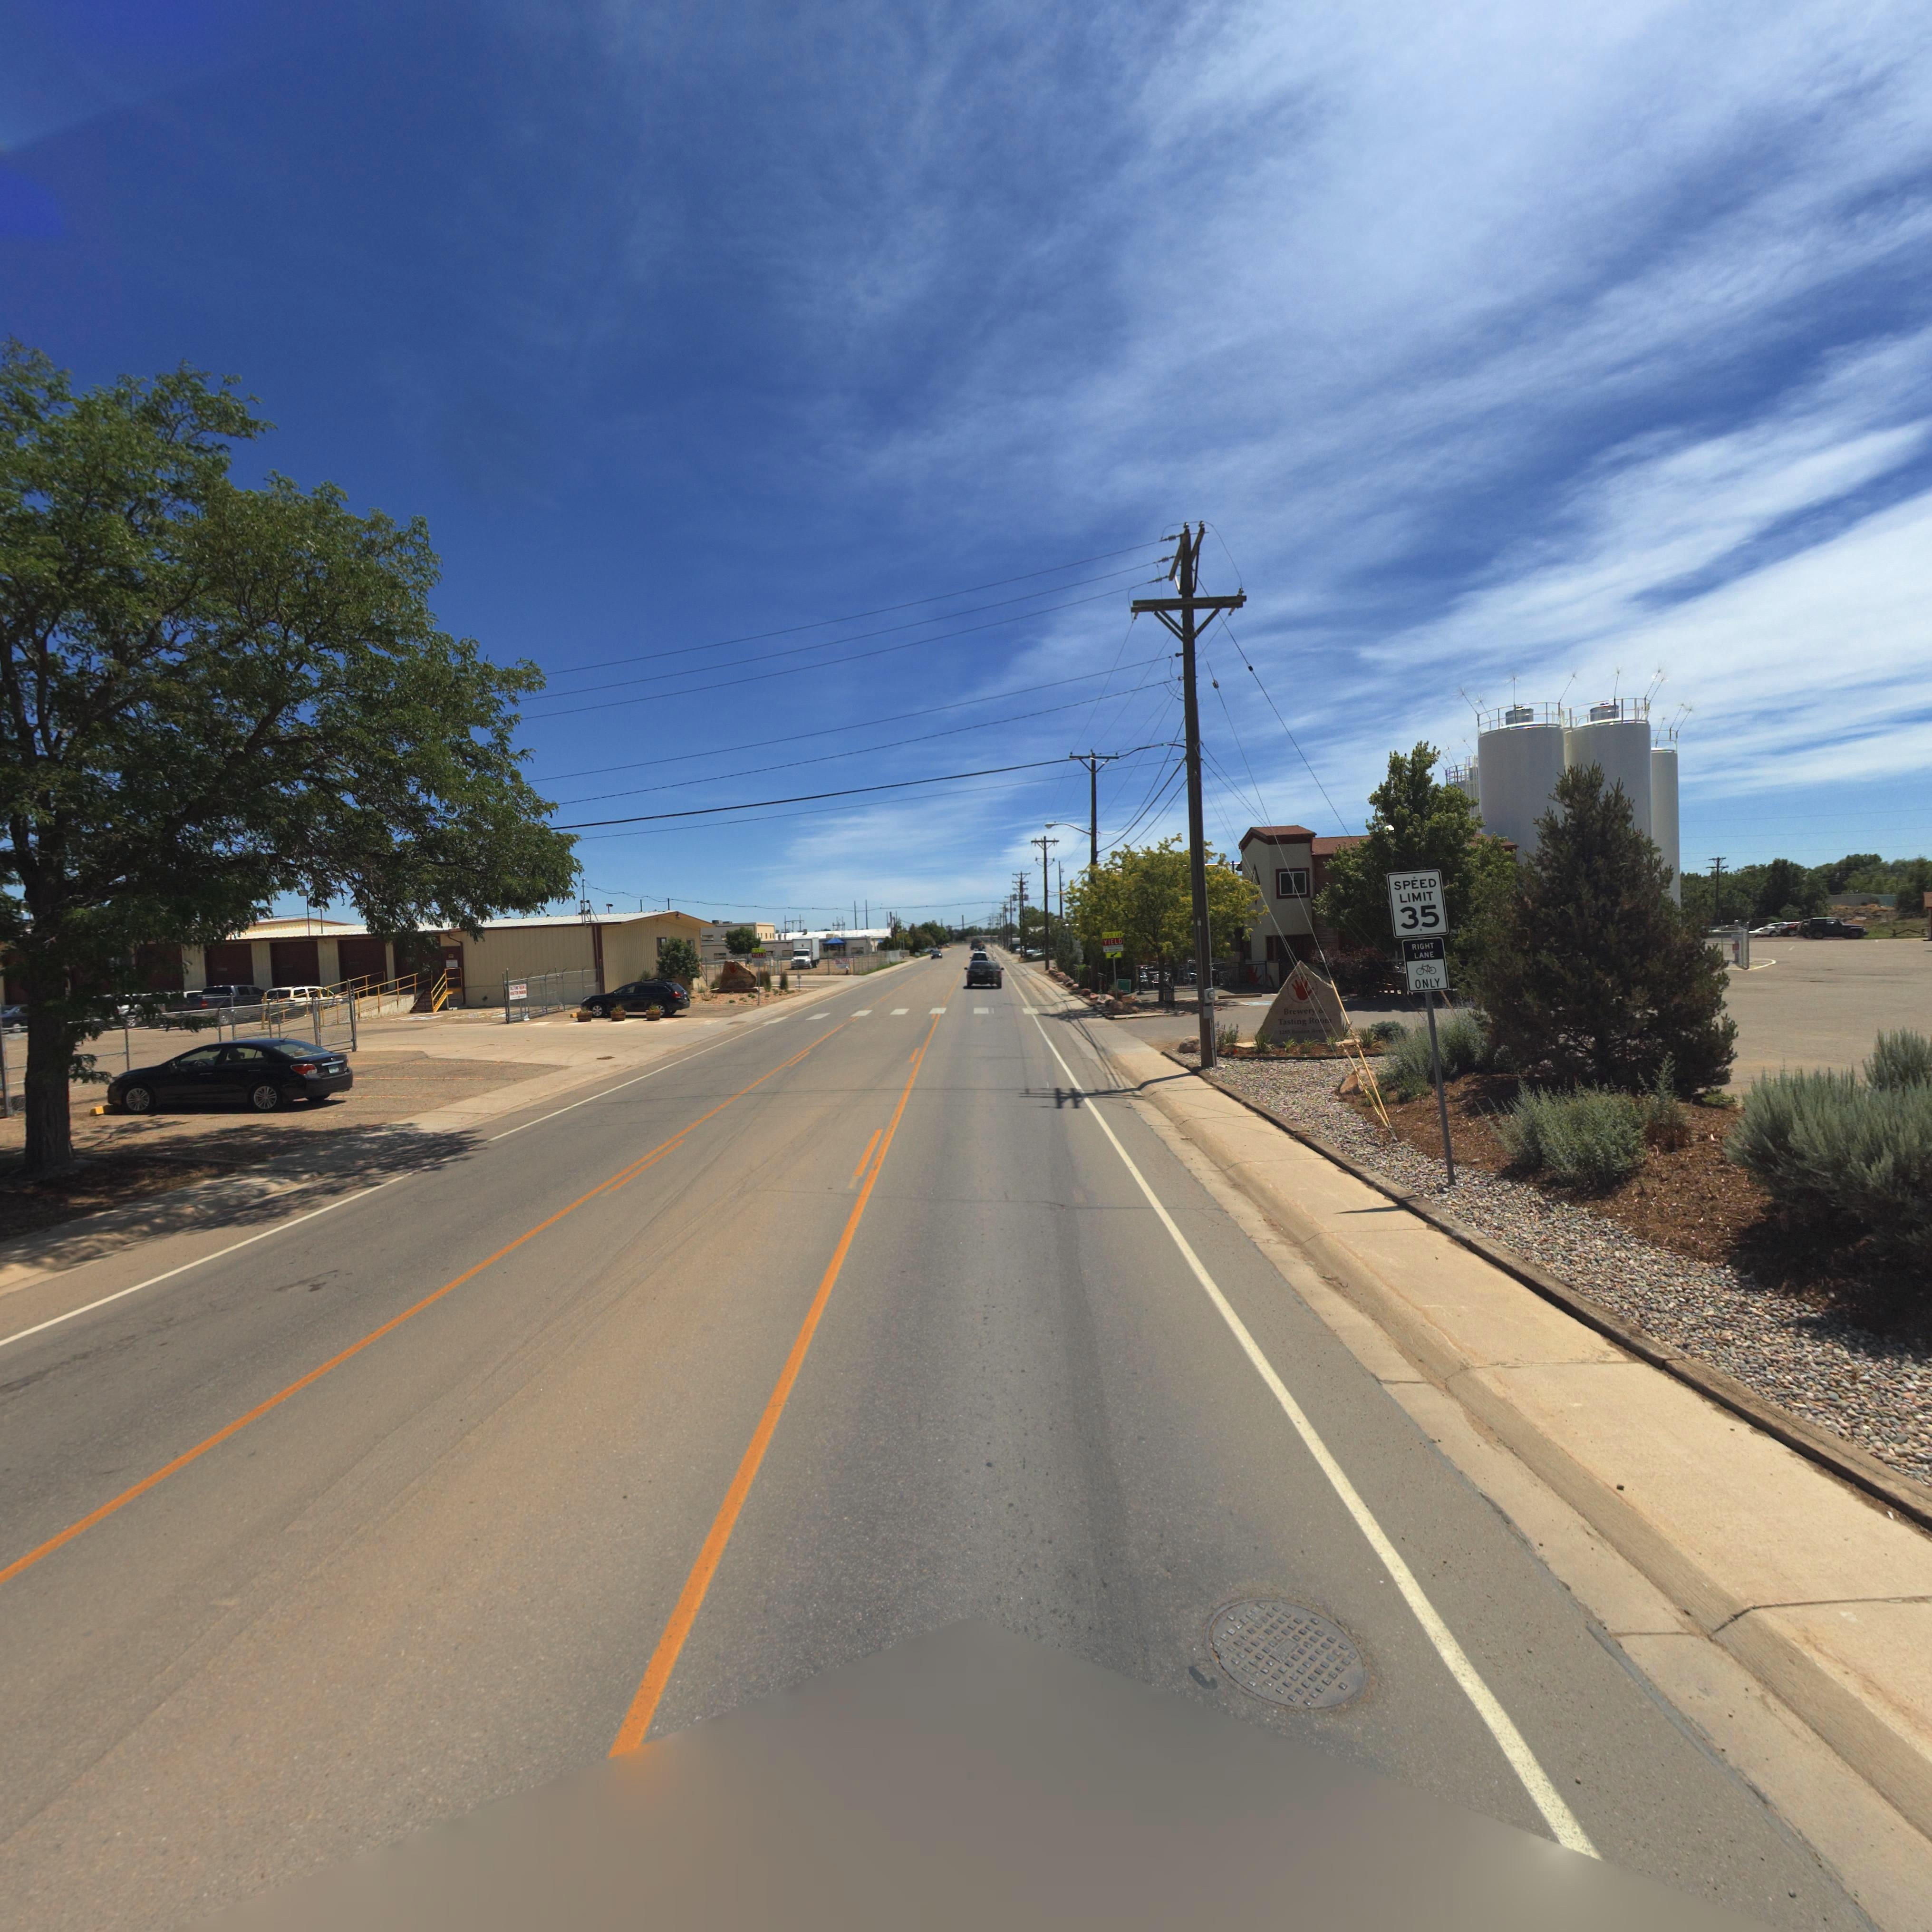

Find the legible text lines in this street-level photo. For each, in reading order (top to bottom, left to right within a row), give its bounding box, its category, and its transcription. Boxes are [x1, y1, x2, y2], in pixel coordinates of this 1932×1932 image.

[1277, 1016, 1331, 1026] BusinessName: Tasting Room
[1279, 1029, 1291, 1035] StreetNumber: 1*65
[1292, 1027, 1331, 1034] StreetName: R****** A******